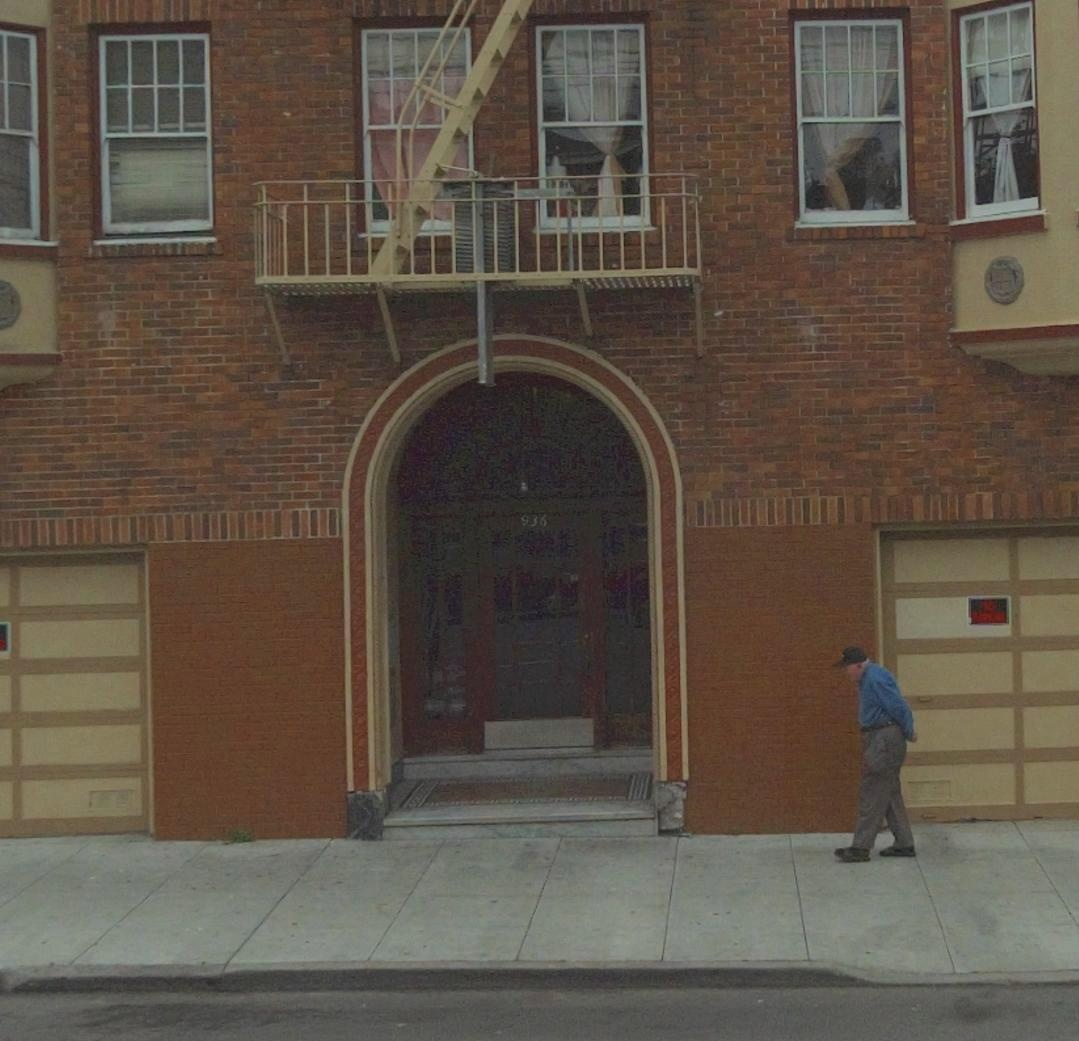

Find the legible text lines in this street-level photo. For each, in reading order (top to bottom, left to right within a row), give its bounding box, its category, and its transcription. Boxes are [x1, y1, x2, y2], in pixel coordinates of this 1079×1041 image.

[519, 513, 549, 528] StreetNumber: 936